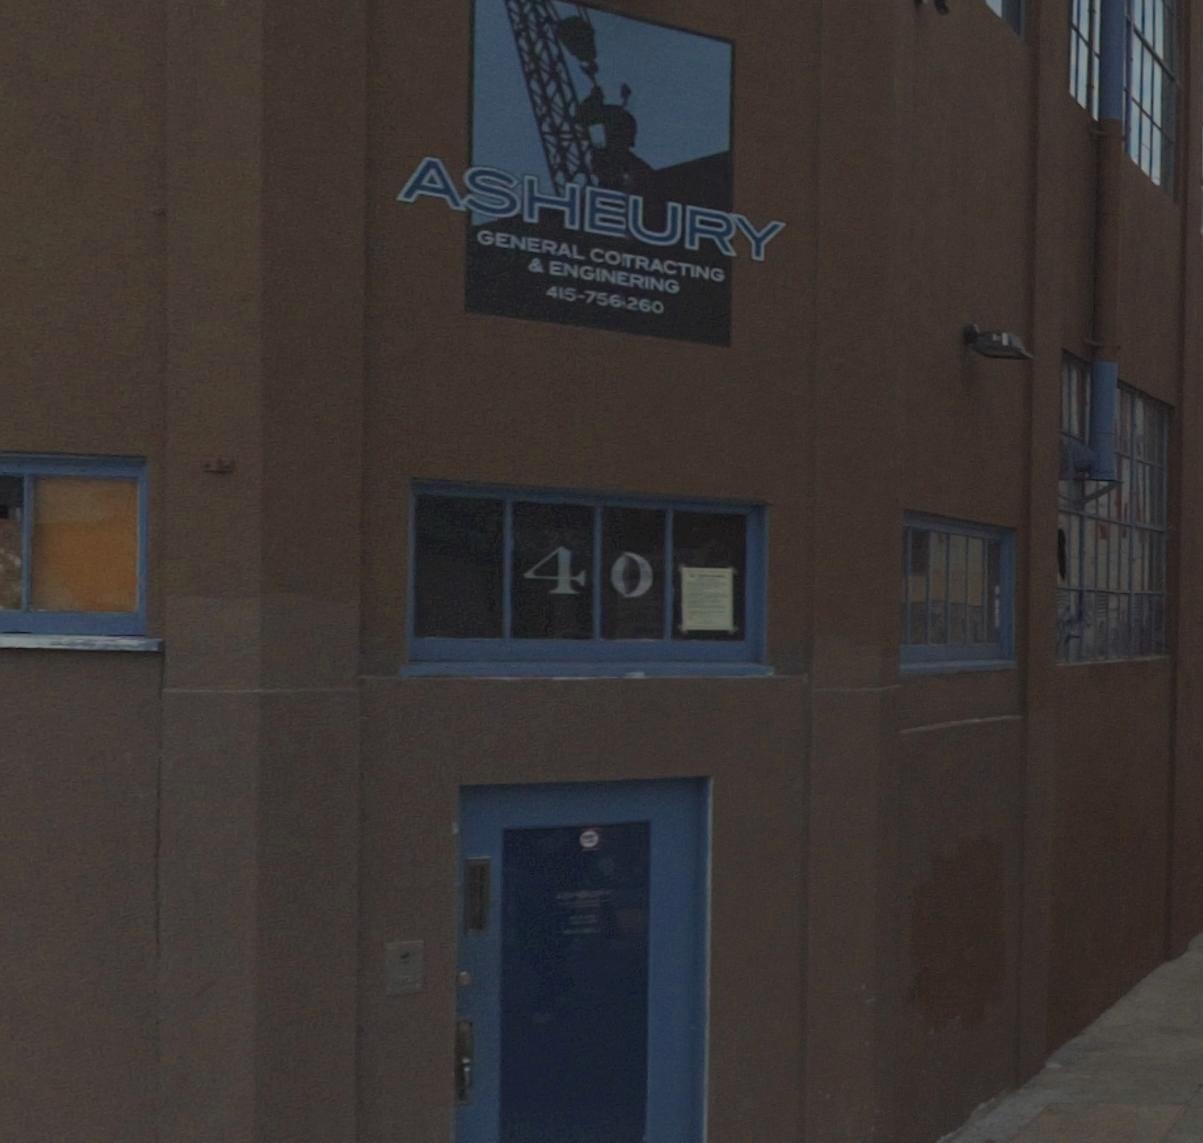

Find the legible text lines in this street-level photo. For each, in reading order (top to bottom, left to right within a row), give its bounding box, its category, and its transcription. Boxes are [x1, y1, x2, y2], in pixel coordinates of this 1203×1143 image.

[389, 146, 798, 269] BusinessName: ASHEURY
[473, 224, 729, 286] None: GENERAL COTRACTING
[543, 281, 668, 317] None: 415-756-260
[546, 255, 684, 298] None: ENGINERING
[517, 540, 658, 601] StreetNumber: 40